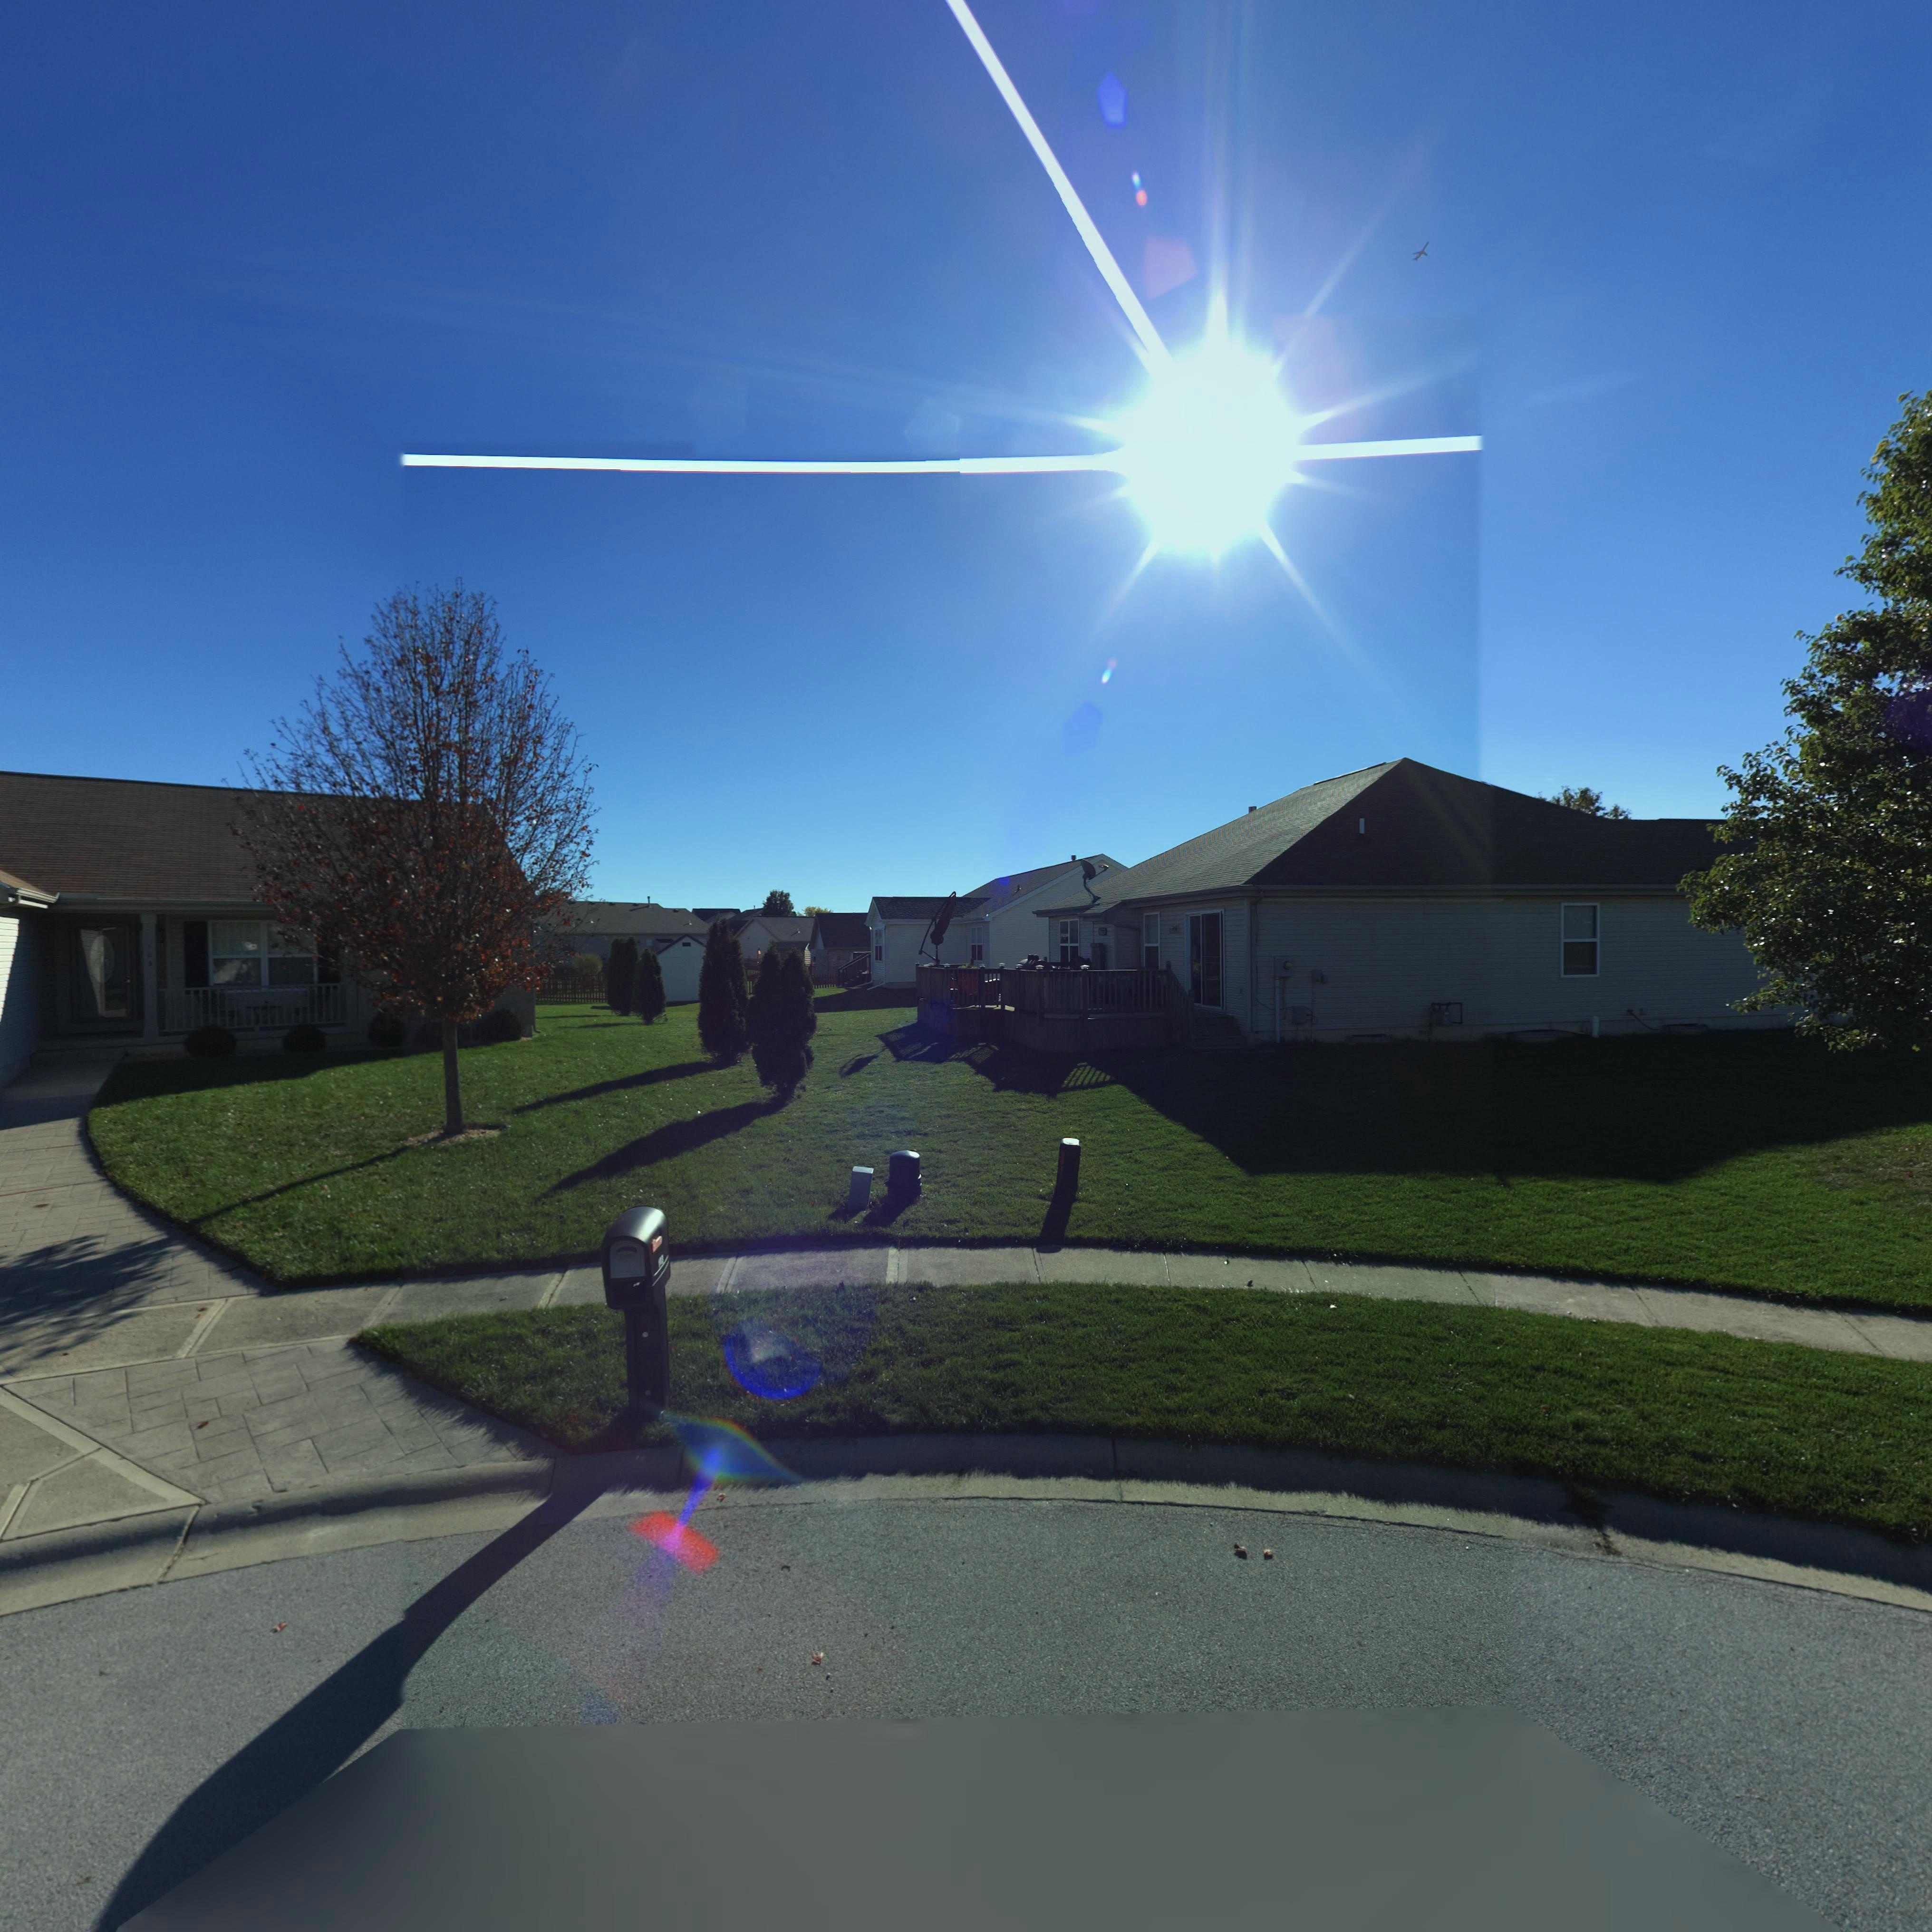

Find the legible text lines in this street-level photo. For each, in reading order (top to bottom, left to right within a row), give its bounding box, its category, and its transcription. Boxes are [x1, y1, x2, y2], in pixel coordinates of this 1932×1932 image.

[147, 944, 153, 966] StreetNumber: 103